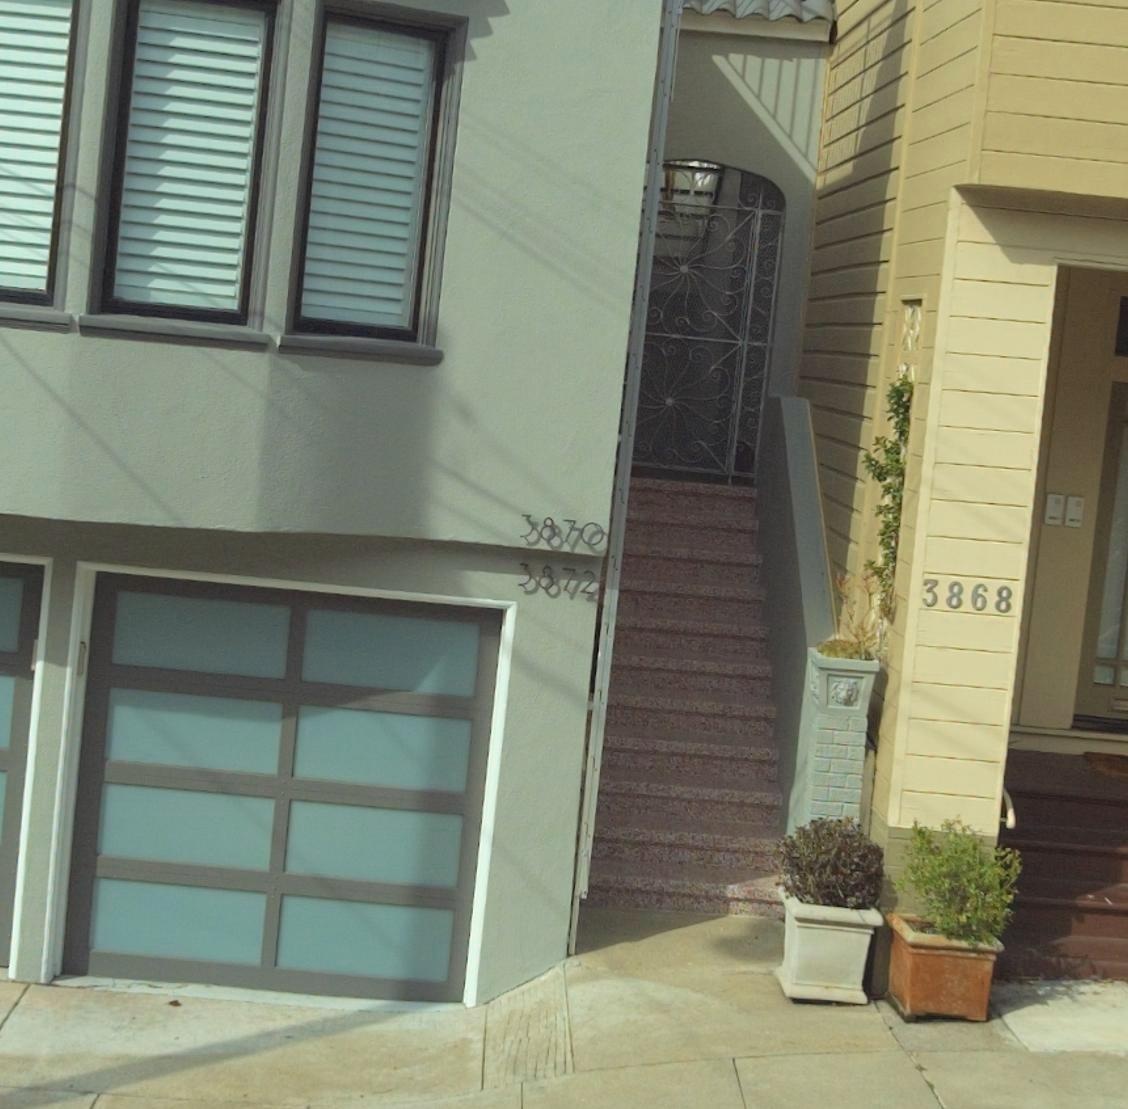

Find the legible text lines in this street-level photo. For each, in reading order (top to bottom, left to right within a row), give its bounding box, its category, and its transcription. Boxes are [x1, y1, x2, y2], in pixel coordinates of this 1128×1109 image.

[517, 512, 606, 547] StreetNumber: 3870
[516, 561, 597, 596] StreetNumber: 3872
[920, 576, 1014, 616] StreetNumber: 3868